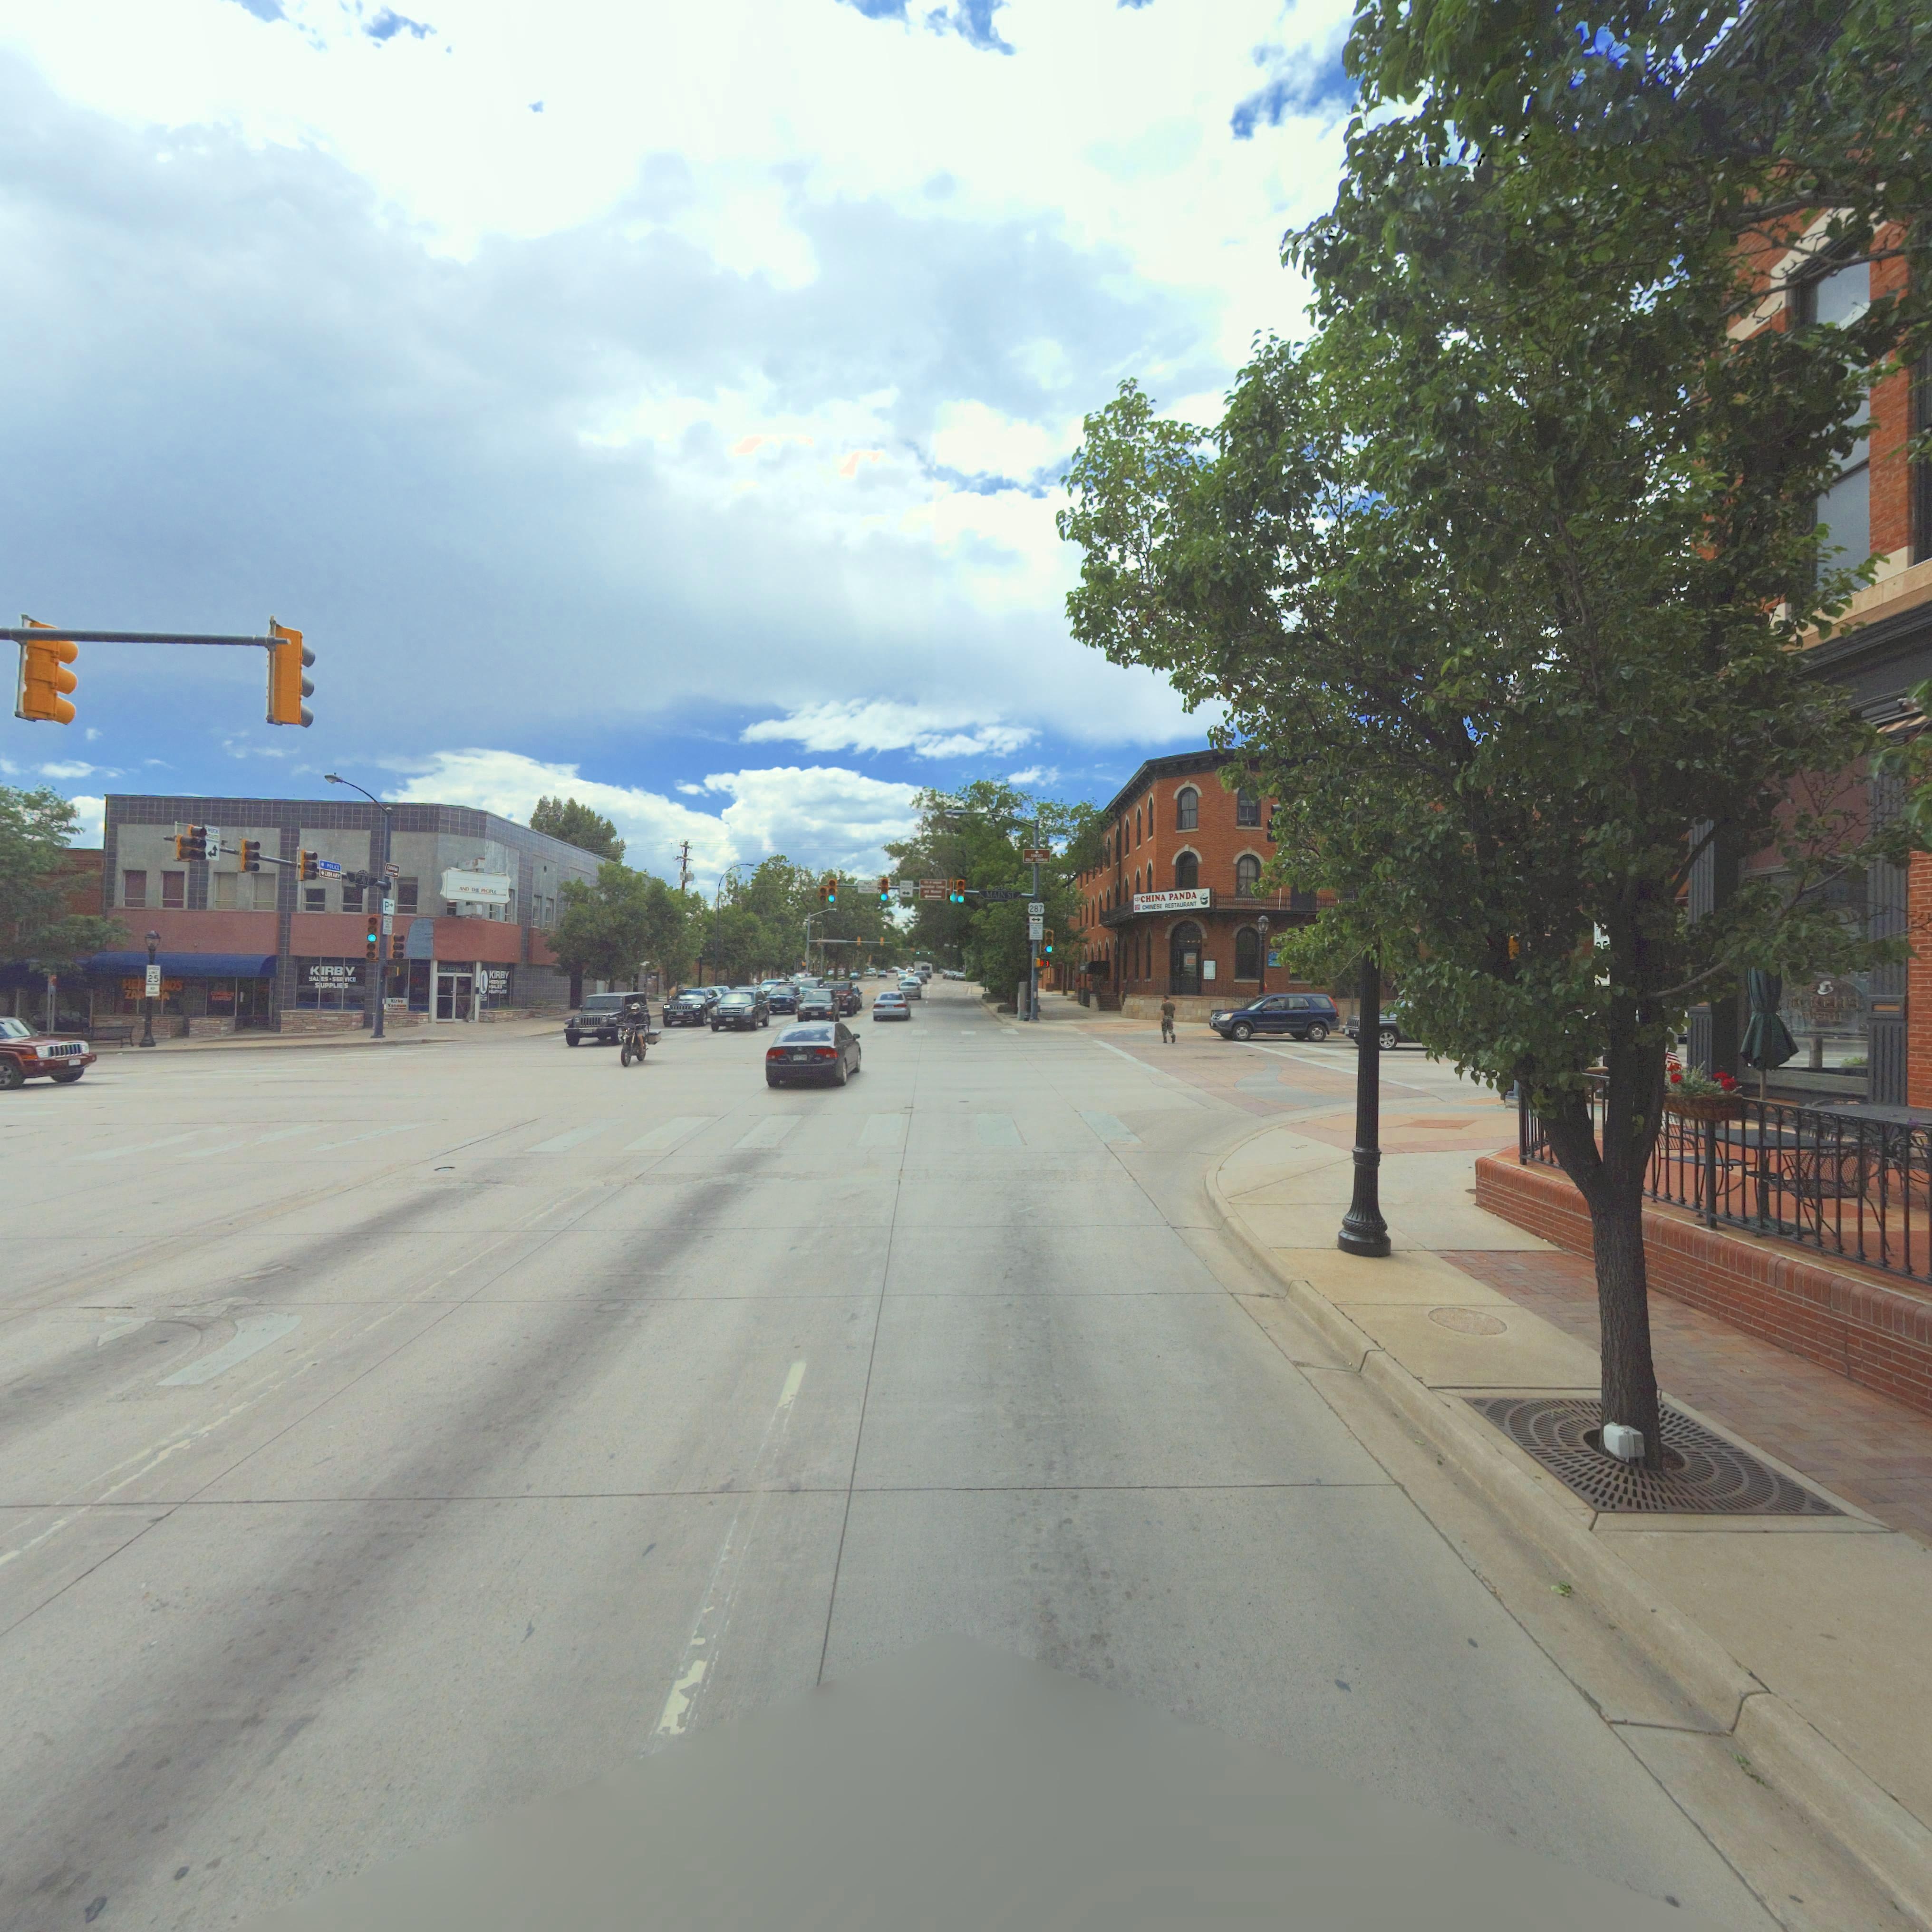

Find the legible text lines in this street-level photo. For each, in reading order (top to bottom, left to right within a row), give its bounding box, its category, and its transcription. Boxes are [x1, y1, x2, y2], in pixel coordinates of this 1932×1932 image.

[353, 873, 371, 885] StreetName: 3rd AVE
[986, 891, 1015, 898] StreetName: MAIN ST
[1140, 891, 1197, 902] BusinessName: CHINA PANDA
[1142, 901, 1197, 909] BusinessName: CHINESE RESTAURANT
[309, 966, 356, 976] BusinessName: KIRBY
[441, 966, 468, 972] BusinessName: KIRBY